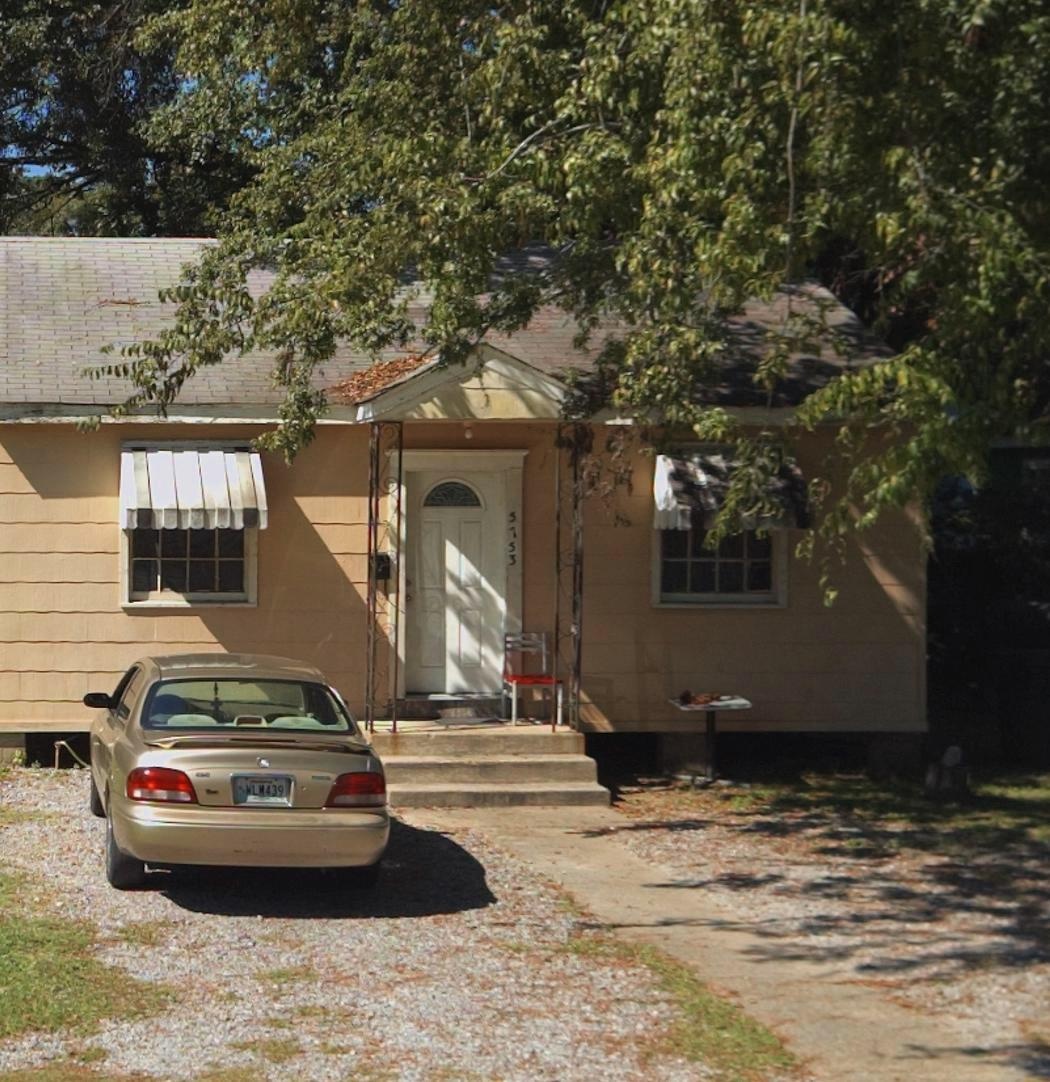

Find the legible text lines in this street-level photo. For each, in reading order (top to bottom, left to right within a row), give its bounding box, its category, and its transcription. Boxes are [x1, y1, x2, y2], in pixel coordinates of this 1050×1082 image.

[507, 510, 519, 567] StreetNumber: 5753
[245, 783, 285, 800] None: *LM439